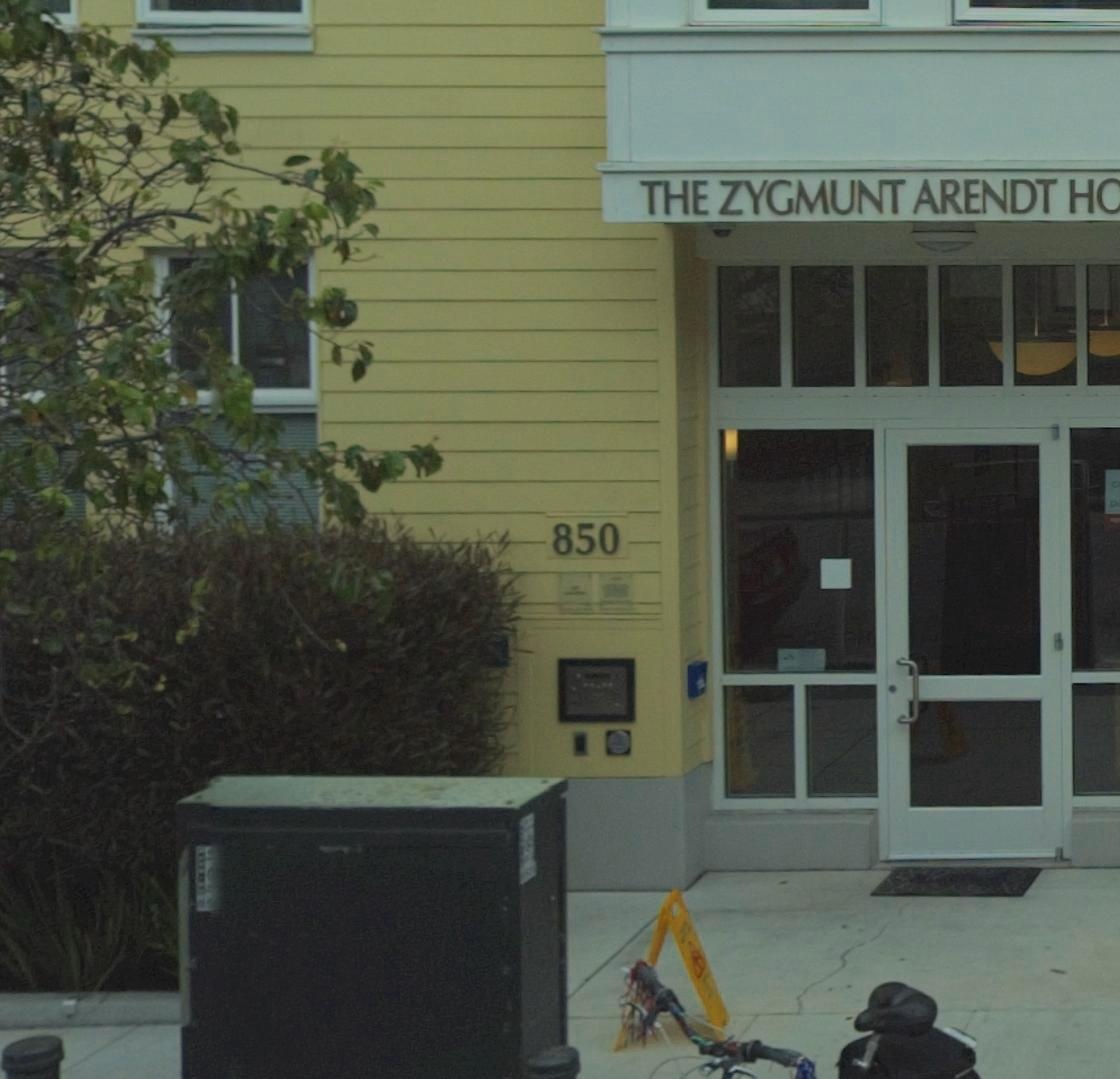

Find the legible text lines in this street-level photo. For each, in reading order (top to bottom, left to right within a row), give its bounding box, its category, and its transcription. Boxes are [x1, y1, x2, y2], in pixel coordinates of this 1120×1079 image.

[637, 178, 1096, 214] None: THE ZYGMUNT ARENDT H
[551, 521, 620, 556] StreetNumber: 850